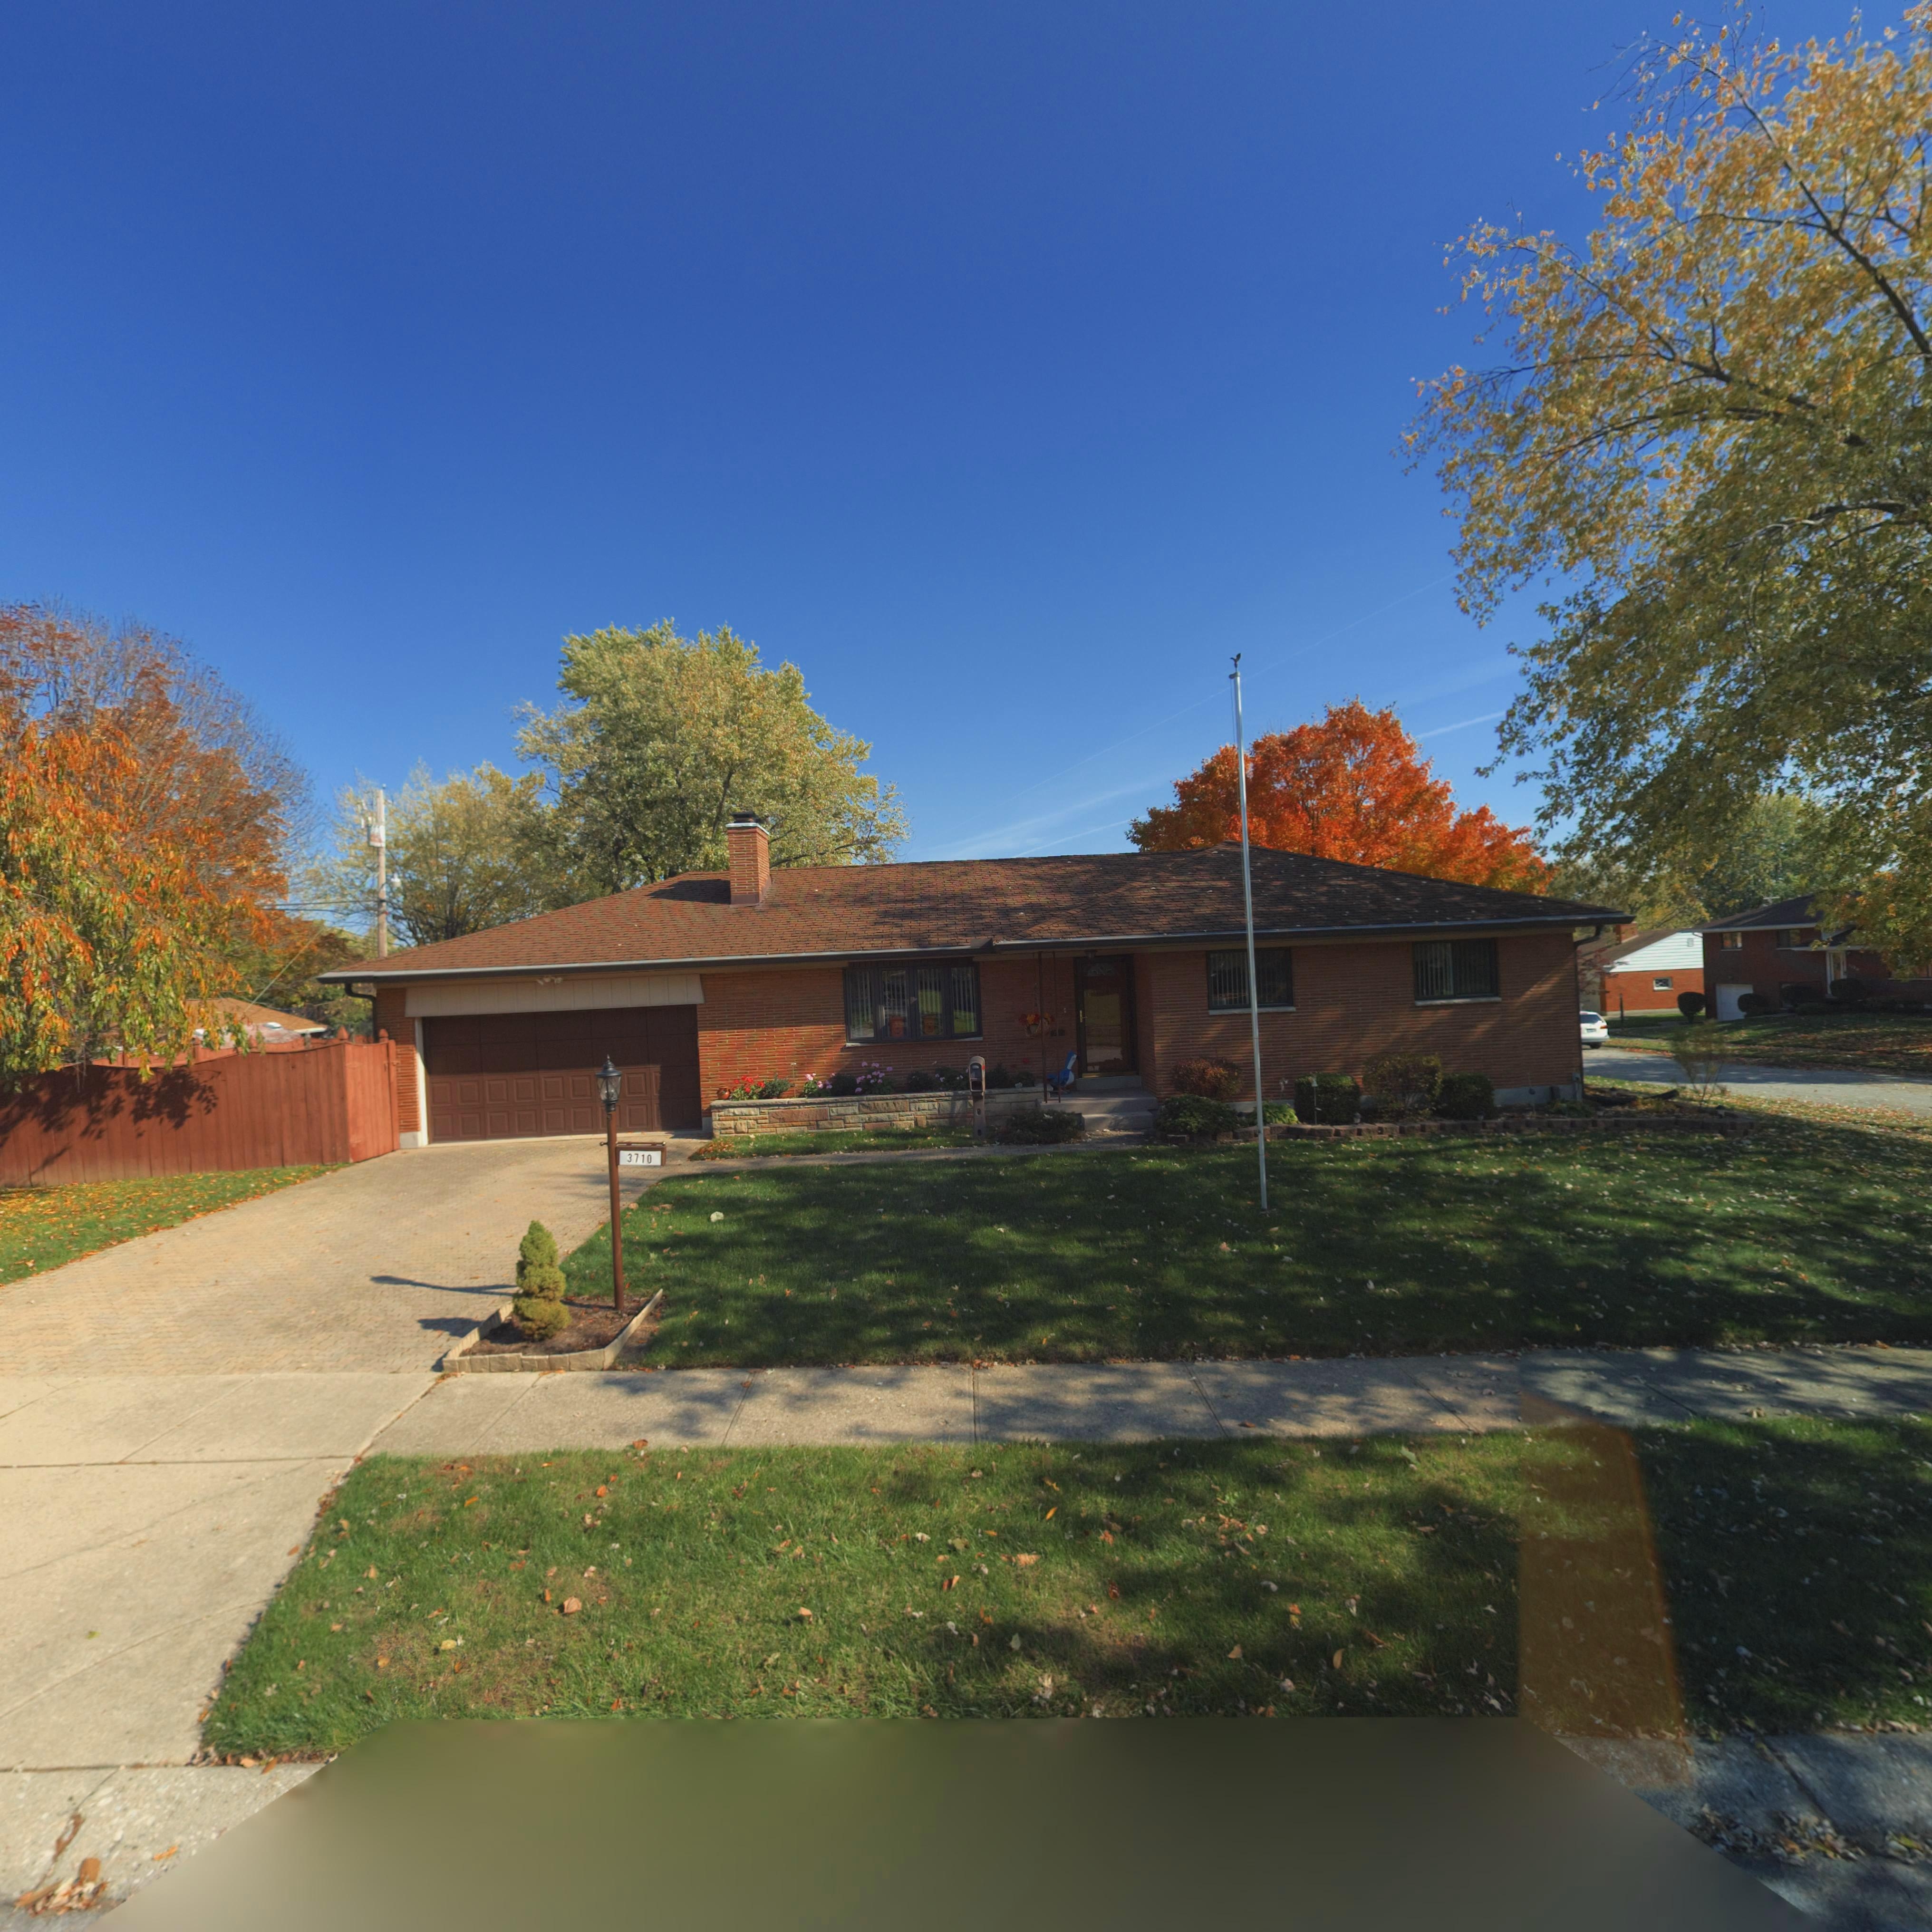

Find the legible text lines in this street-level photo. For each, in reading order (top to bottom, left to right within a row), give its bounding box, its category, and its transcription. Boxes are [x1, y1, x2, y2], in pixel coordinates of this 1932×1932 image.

[626, 1152, 653, 1165] StreetNumber: 3710